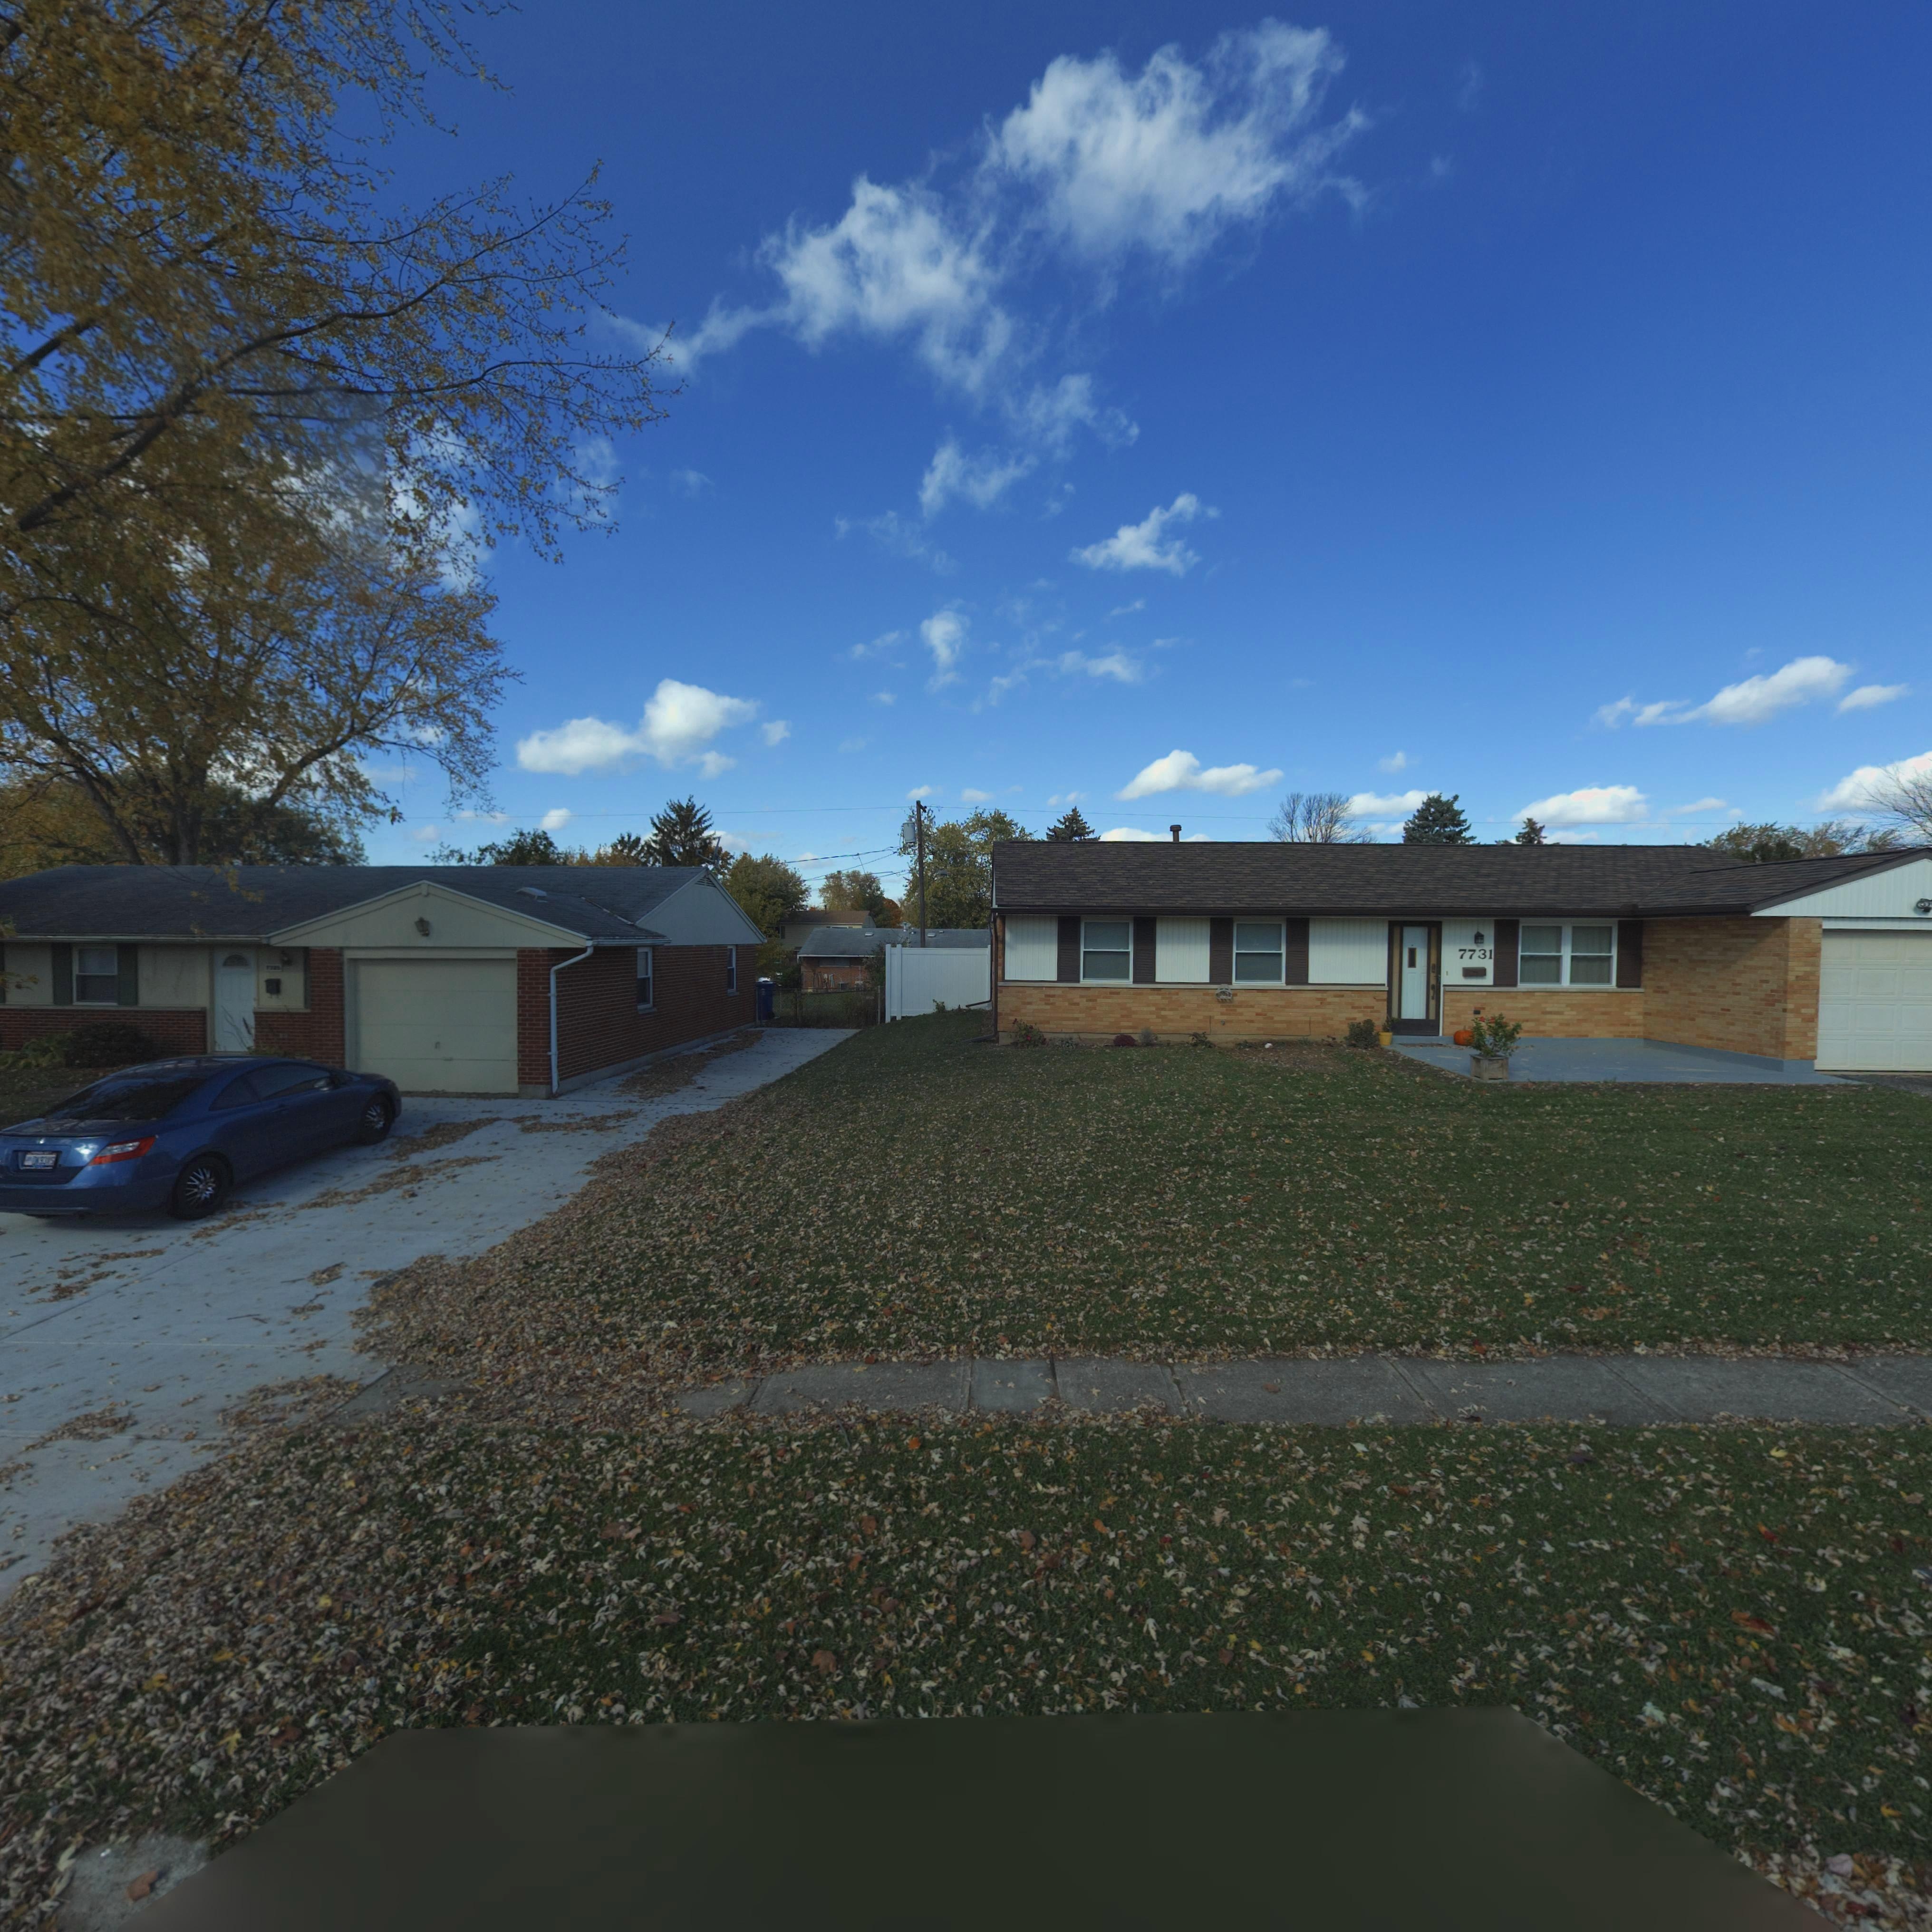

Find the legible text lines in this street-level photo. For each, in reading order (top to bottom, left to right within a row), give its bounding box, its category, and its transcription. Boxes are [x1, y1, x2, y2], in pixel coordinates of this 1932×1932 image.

[1458, 948, 1493, 960] StreetNumber: 7731
[266, 965, 280, 970] StreetNumber: 7*2*